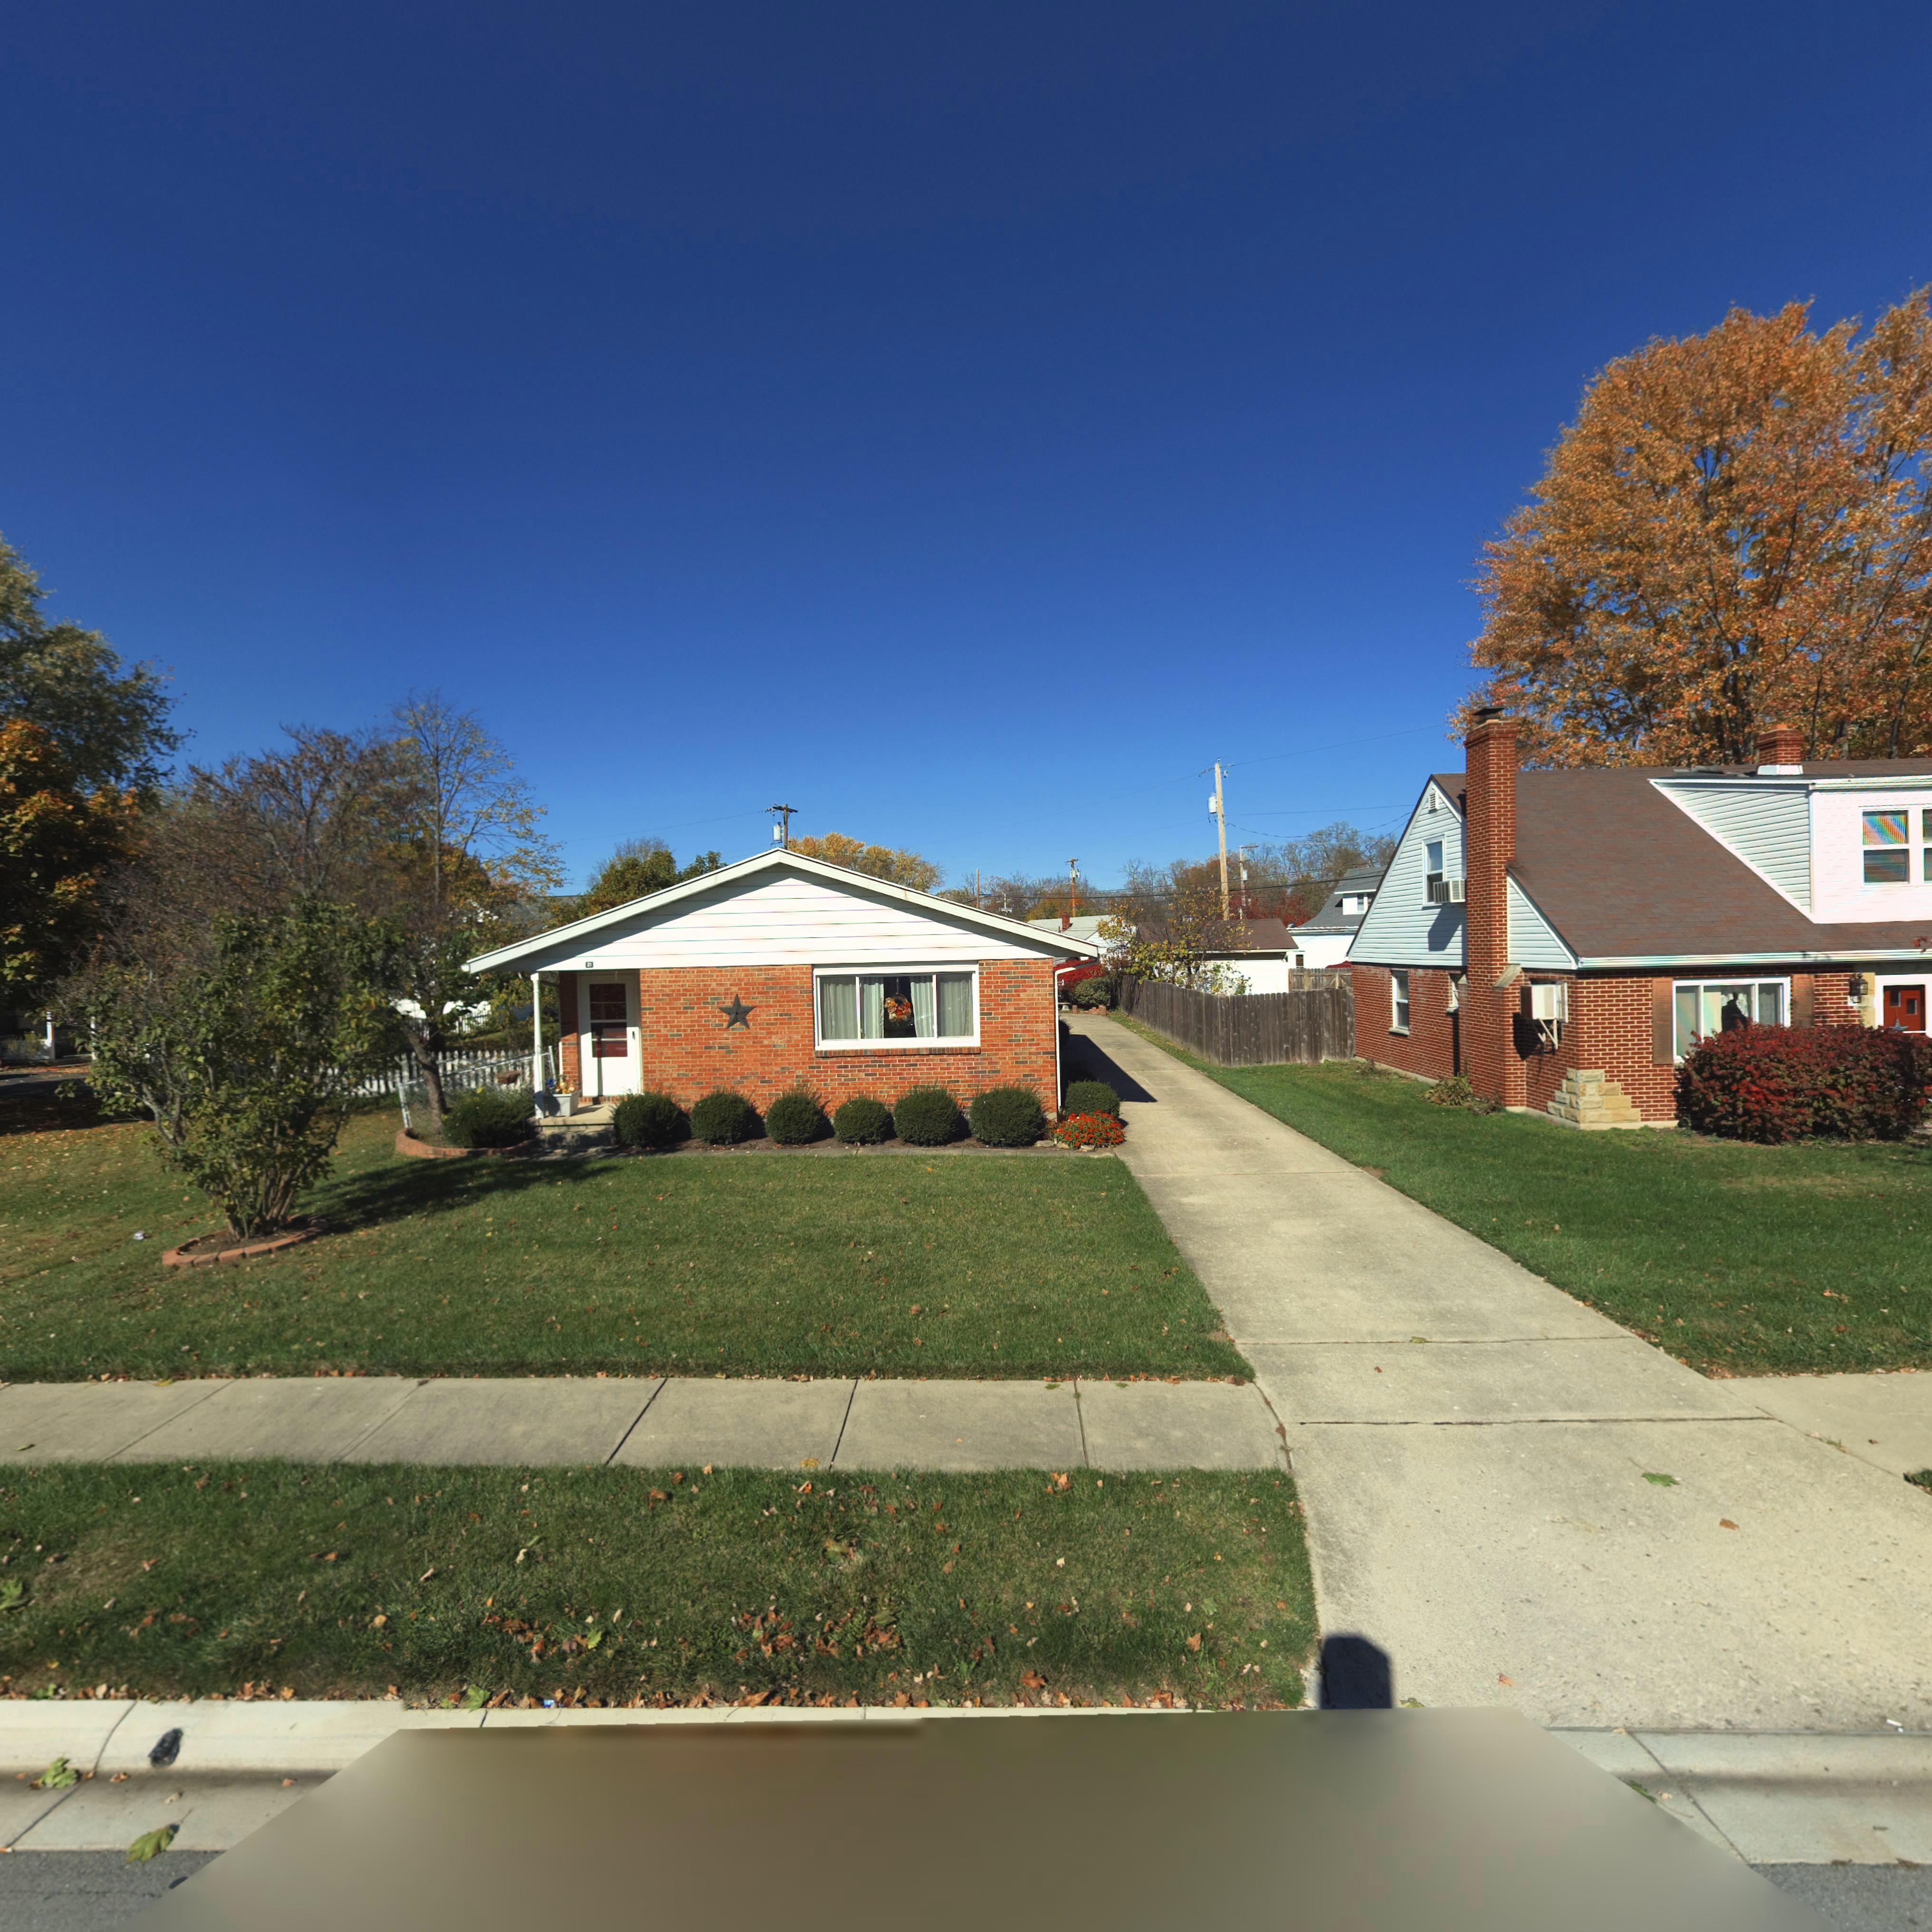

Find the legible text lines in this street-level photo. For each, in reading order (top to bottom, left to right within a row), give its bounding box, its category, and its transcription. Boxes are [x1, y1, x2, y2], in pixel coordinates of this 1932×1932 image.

[586, 961, 593, 968] StreetNumber: 2*